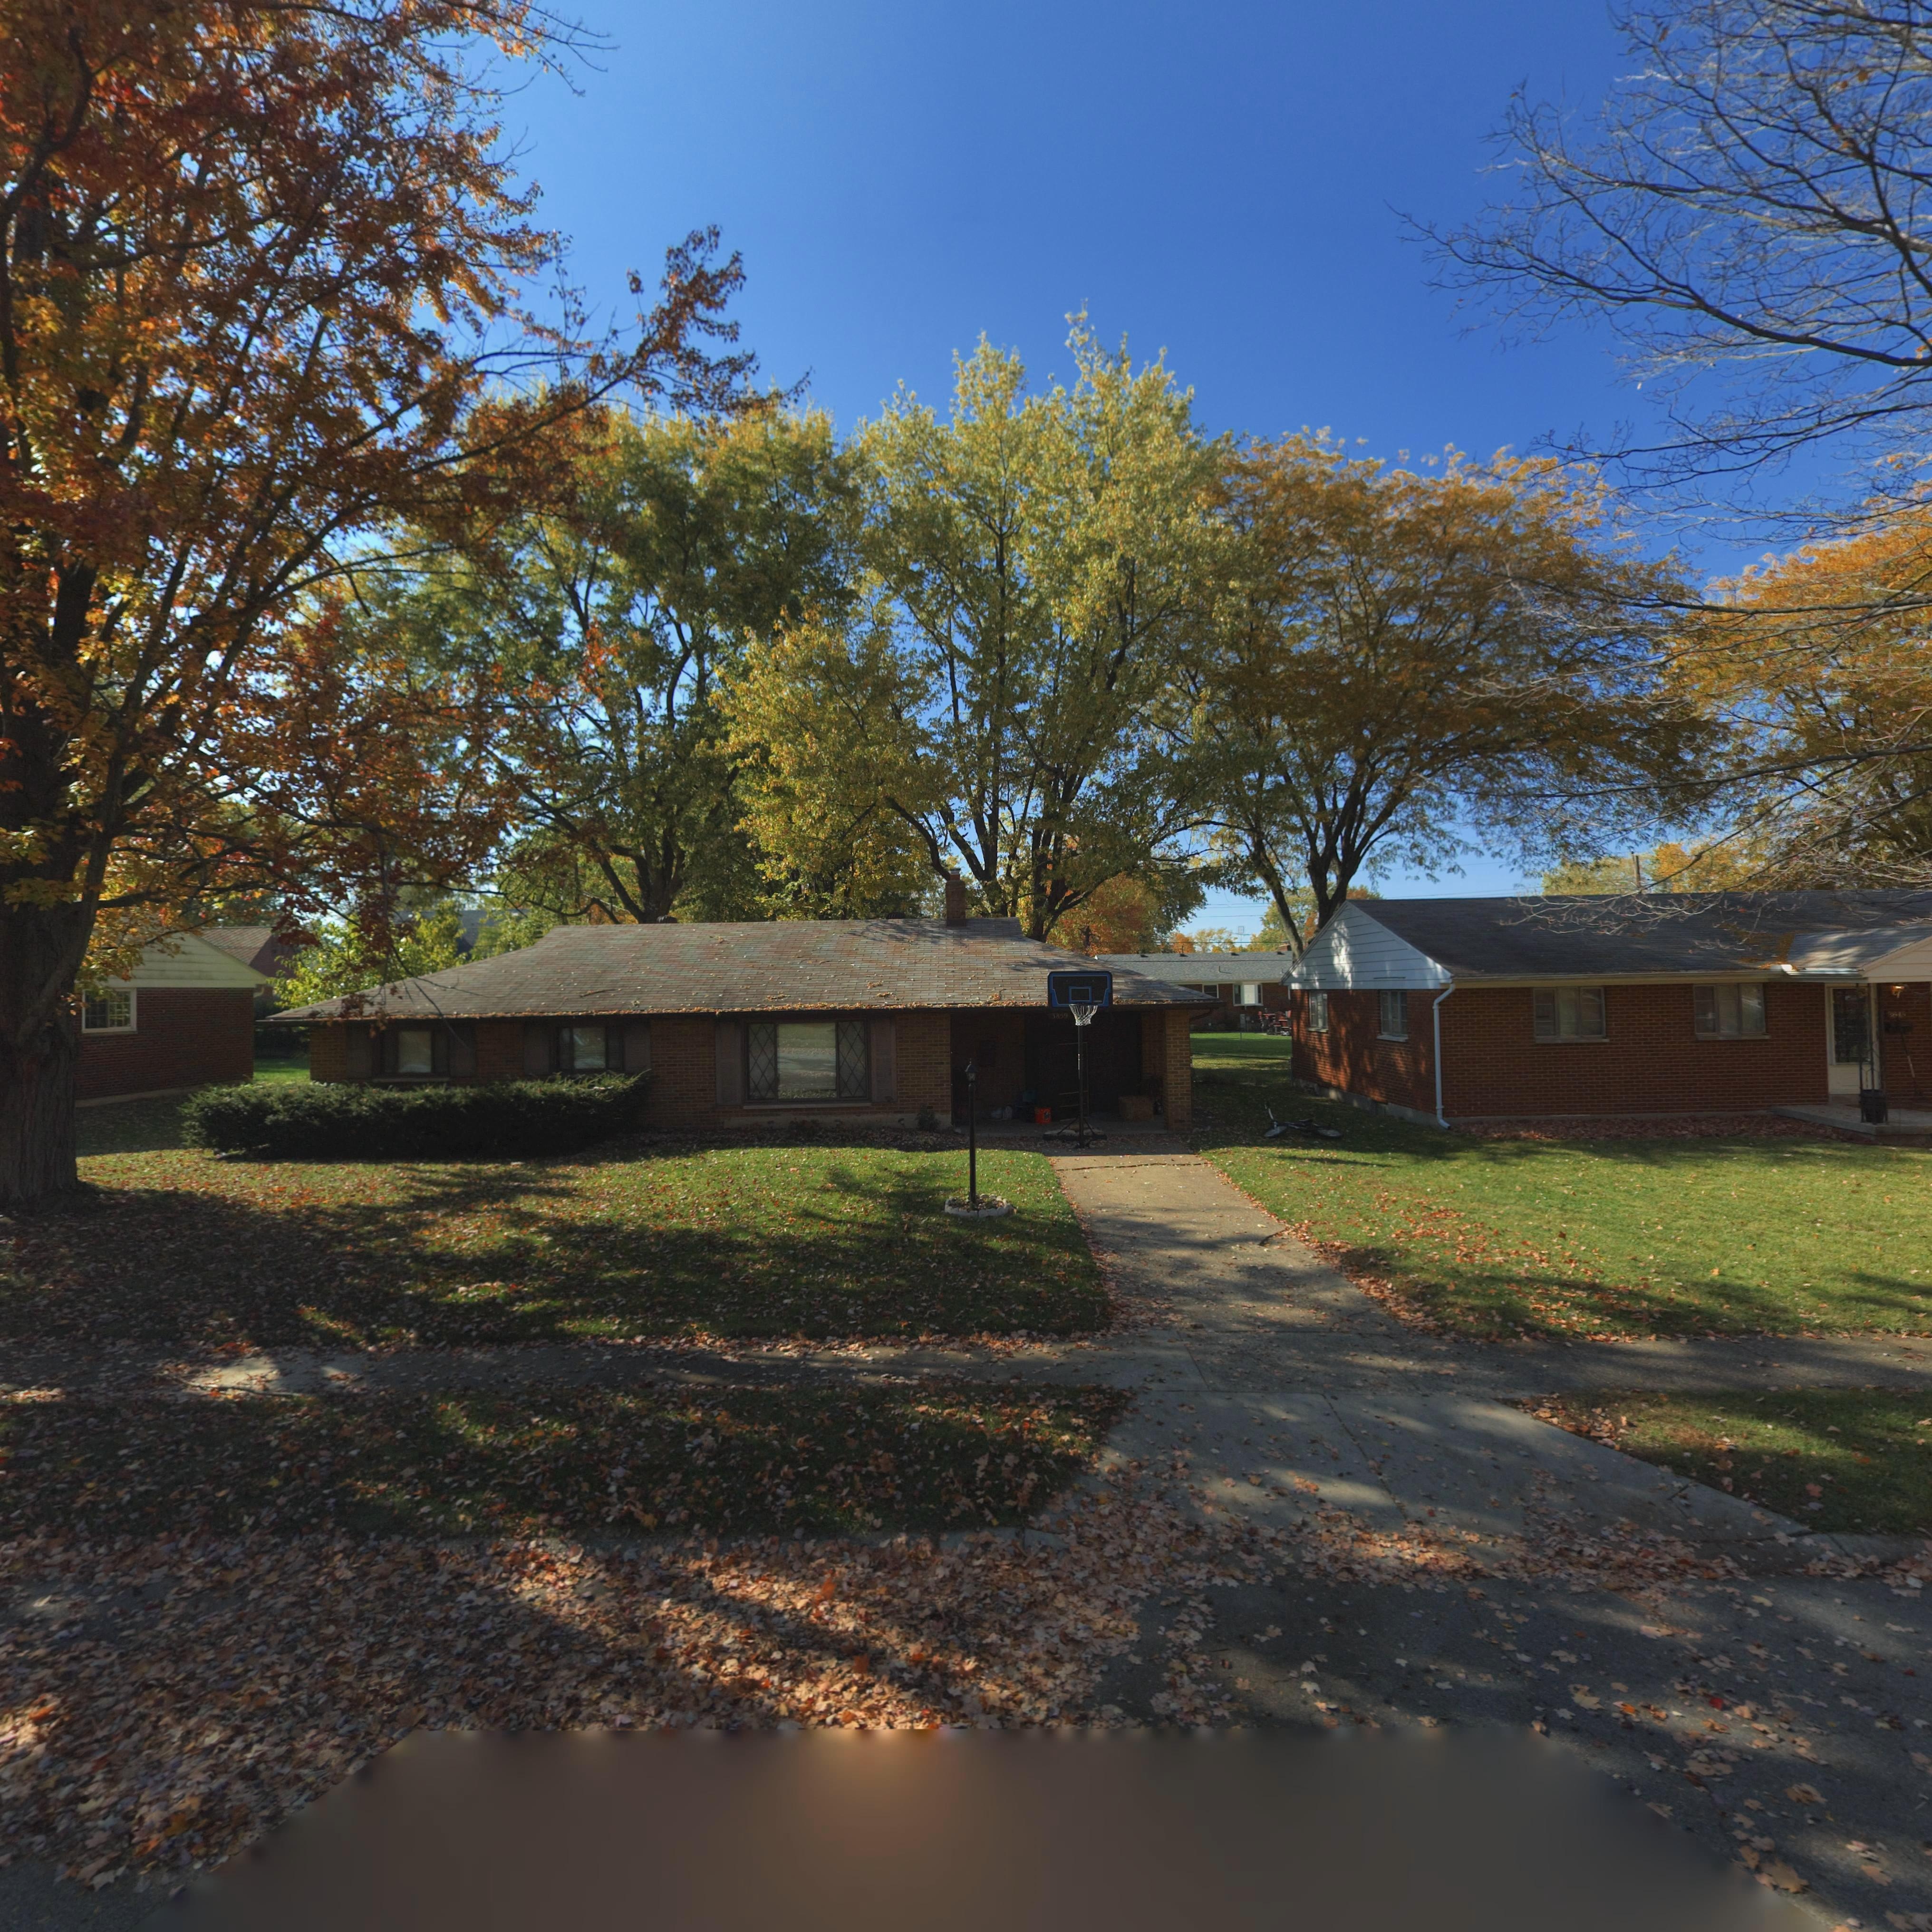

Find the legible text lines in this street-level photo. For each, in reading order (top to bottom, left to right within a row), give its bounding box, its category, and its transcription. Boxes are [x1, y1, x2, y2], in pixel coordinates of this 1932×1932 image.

[1051, 1012, 1068, 1020] StreetNumber: 38*9